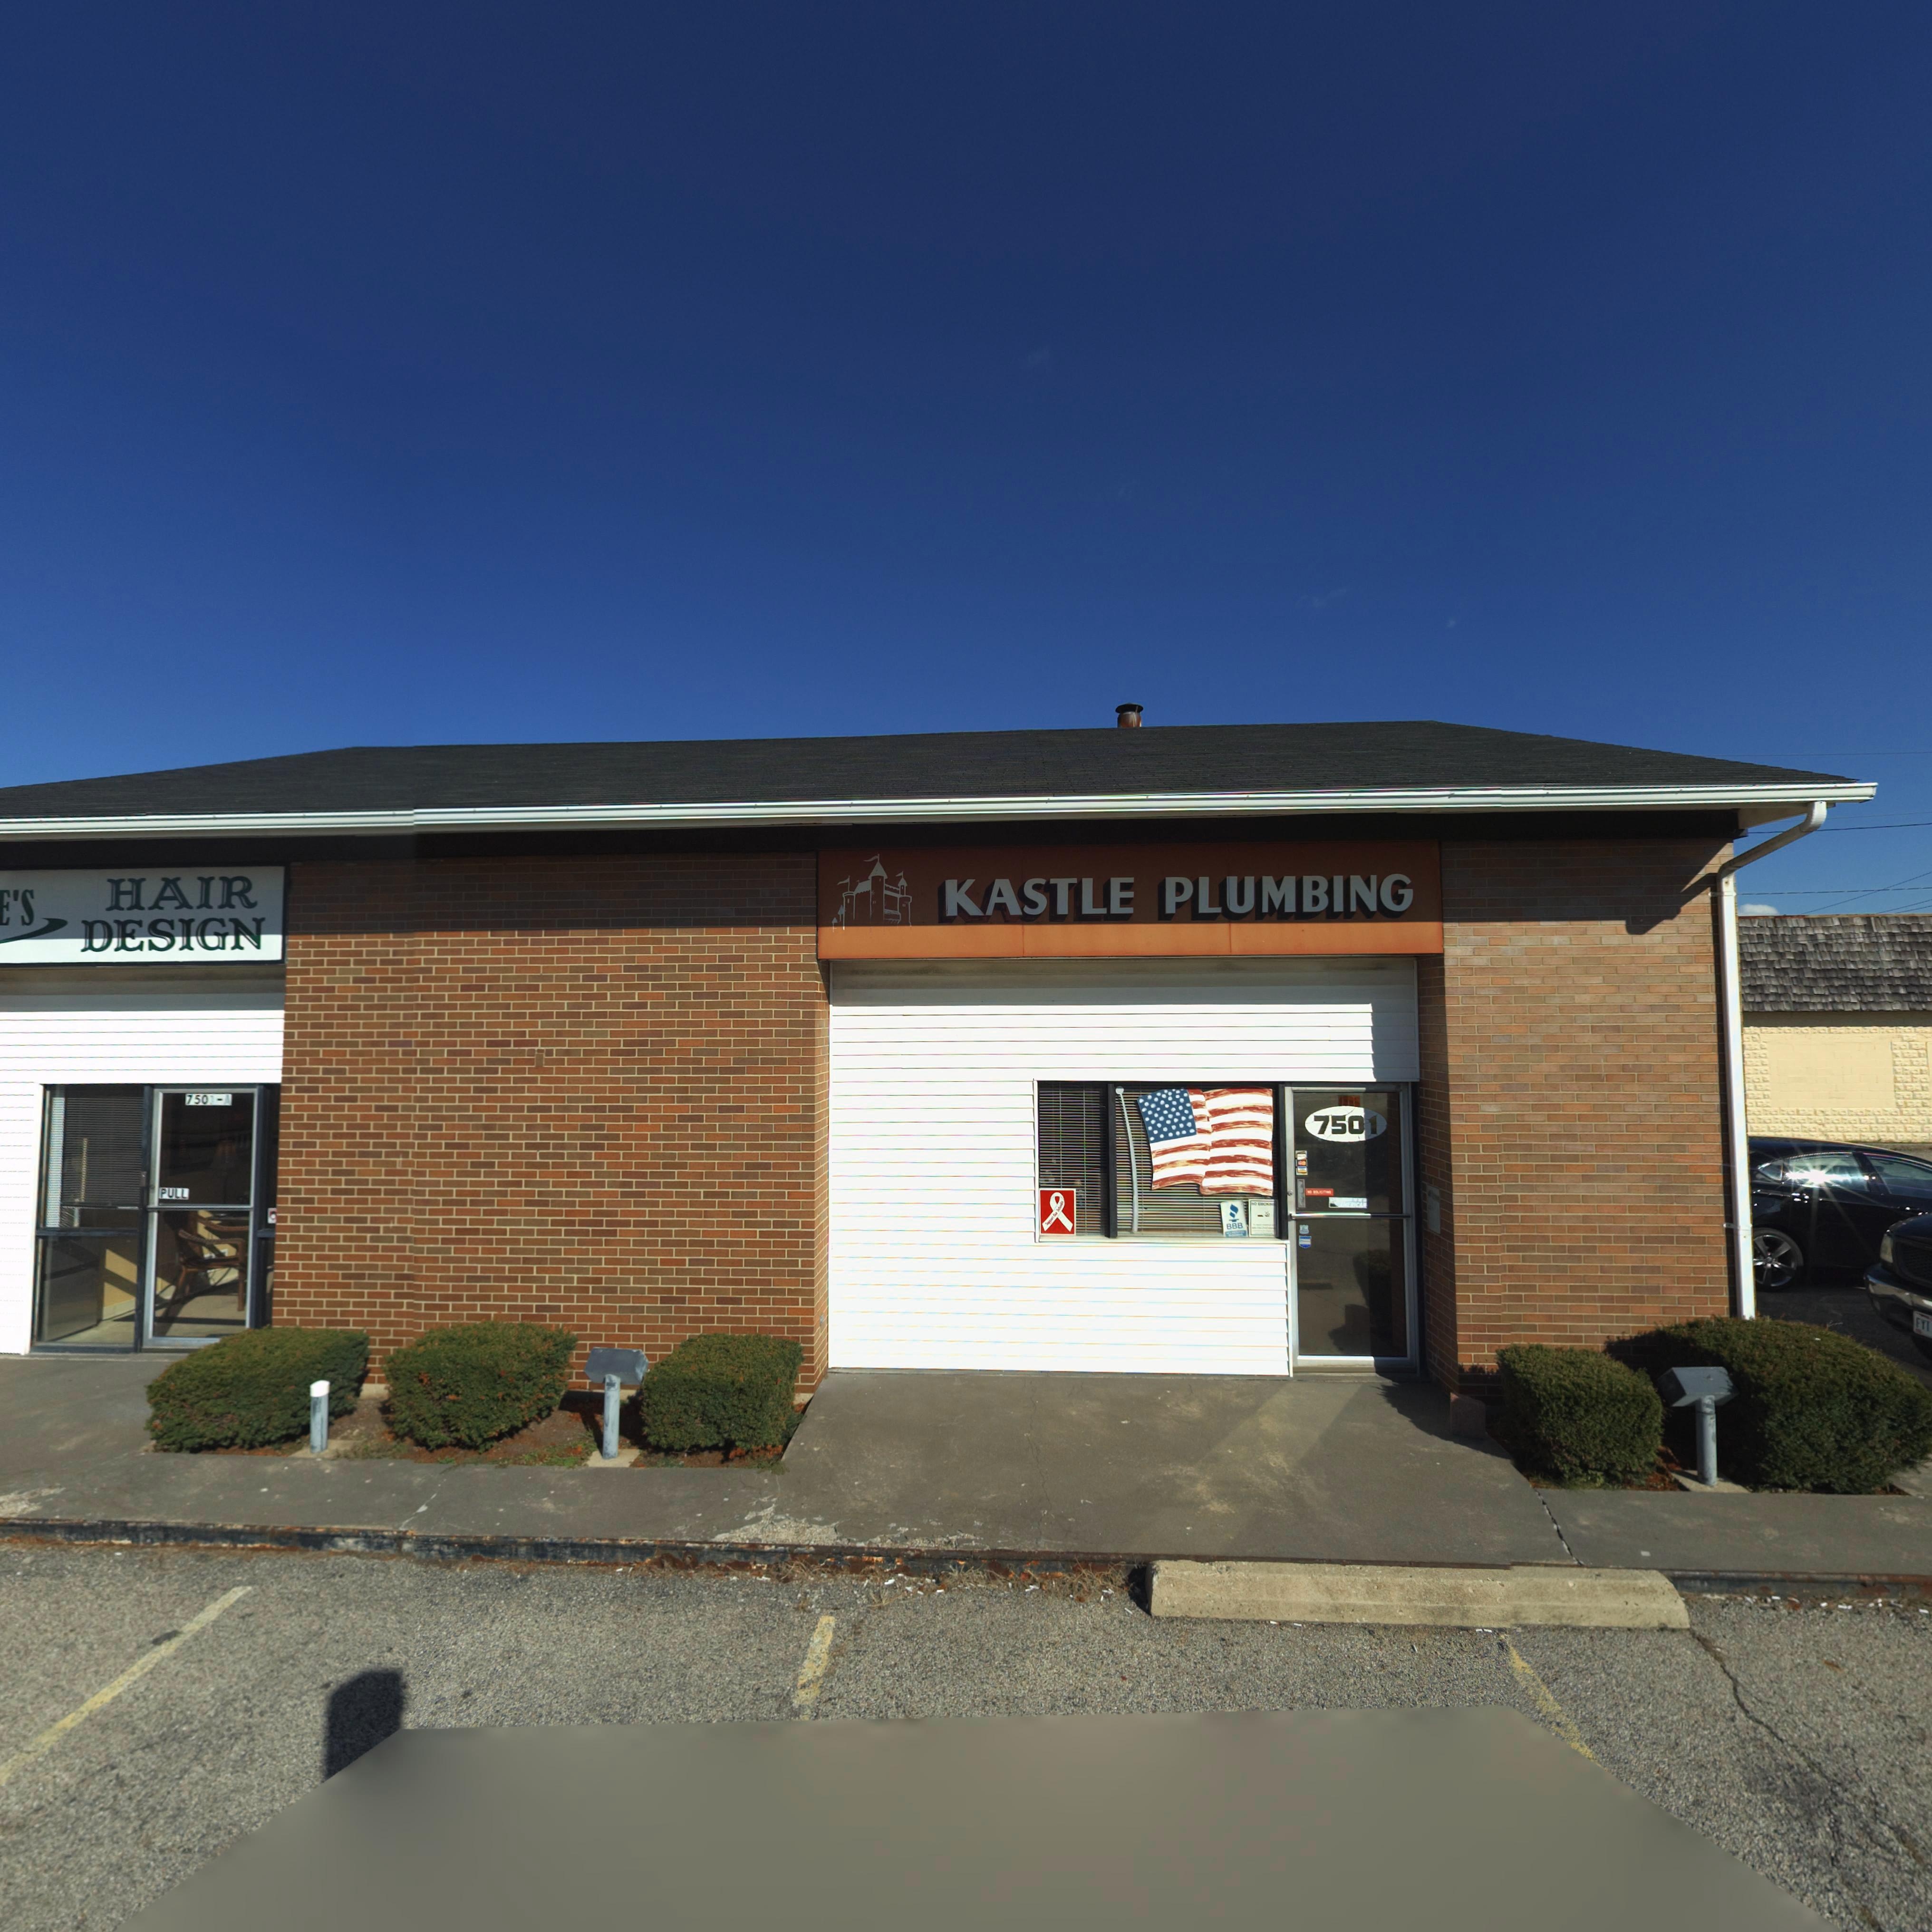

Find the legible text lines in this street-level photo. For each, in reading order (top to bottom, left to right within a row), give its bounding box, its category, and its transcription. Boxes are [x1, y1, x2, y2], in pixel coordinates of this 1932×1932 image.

[0, 889, 35, 927] BusinessName: E'S
[104, 875, 260, 912] BusinessName: HAIR
[943, 873, 1416, 918] BusinessName: KASTLE PLUMBING
[79, 917, 267, 953] BusinessName: DESIGN
[185, 1094, 210, 1106] StreetNumber: 750
[1313, 1114, 1378, 1136] StreetNumber: 7501